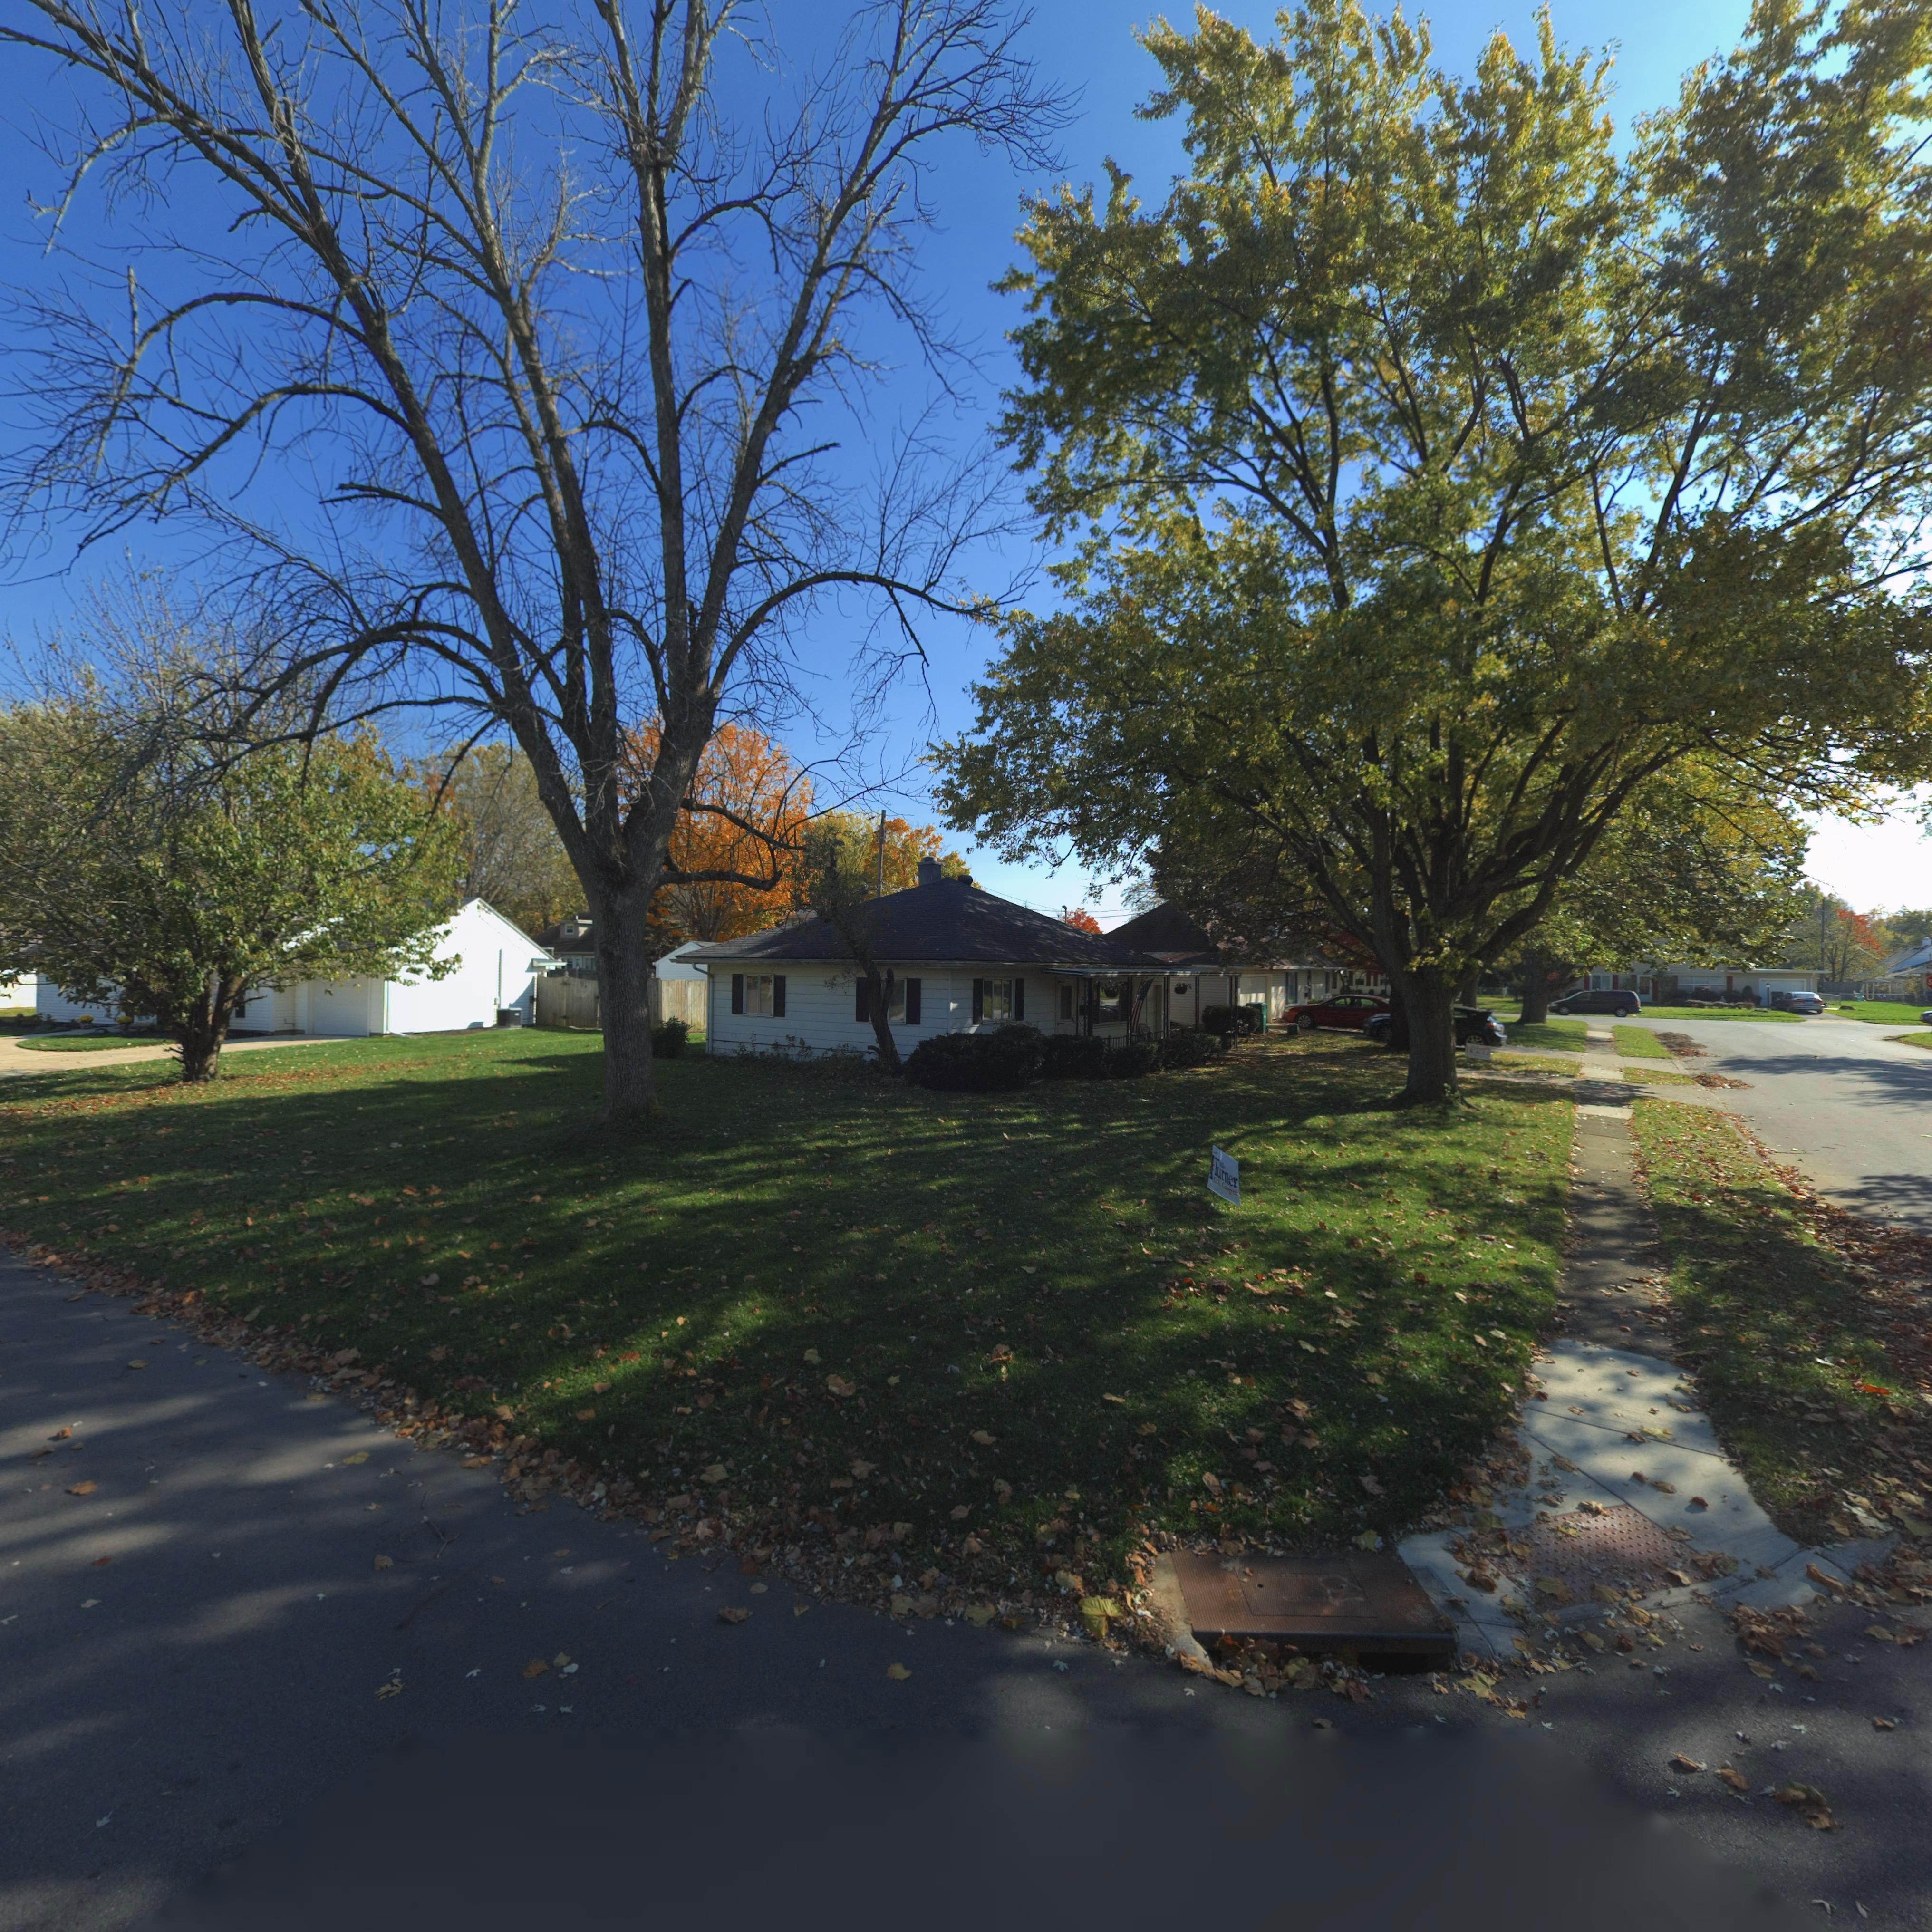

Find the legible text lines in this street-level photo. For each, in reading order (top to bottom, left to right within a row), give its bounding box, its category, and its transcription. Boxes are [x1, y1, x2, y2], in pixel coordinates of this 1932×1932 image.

[1213, 1155, 1239, 1190] None: Turner